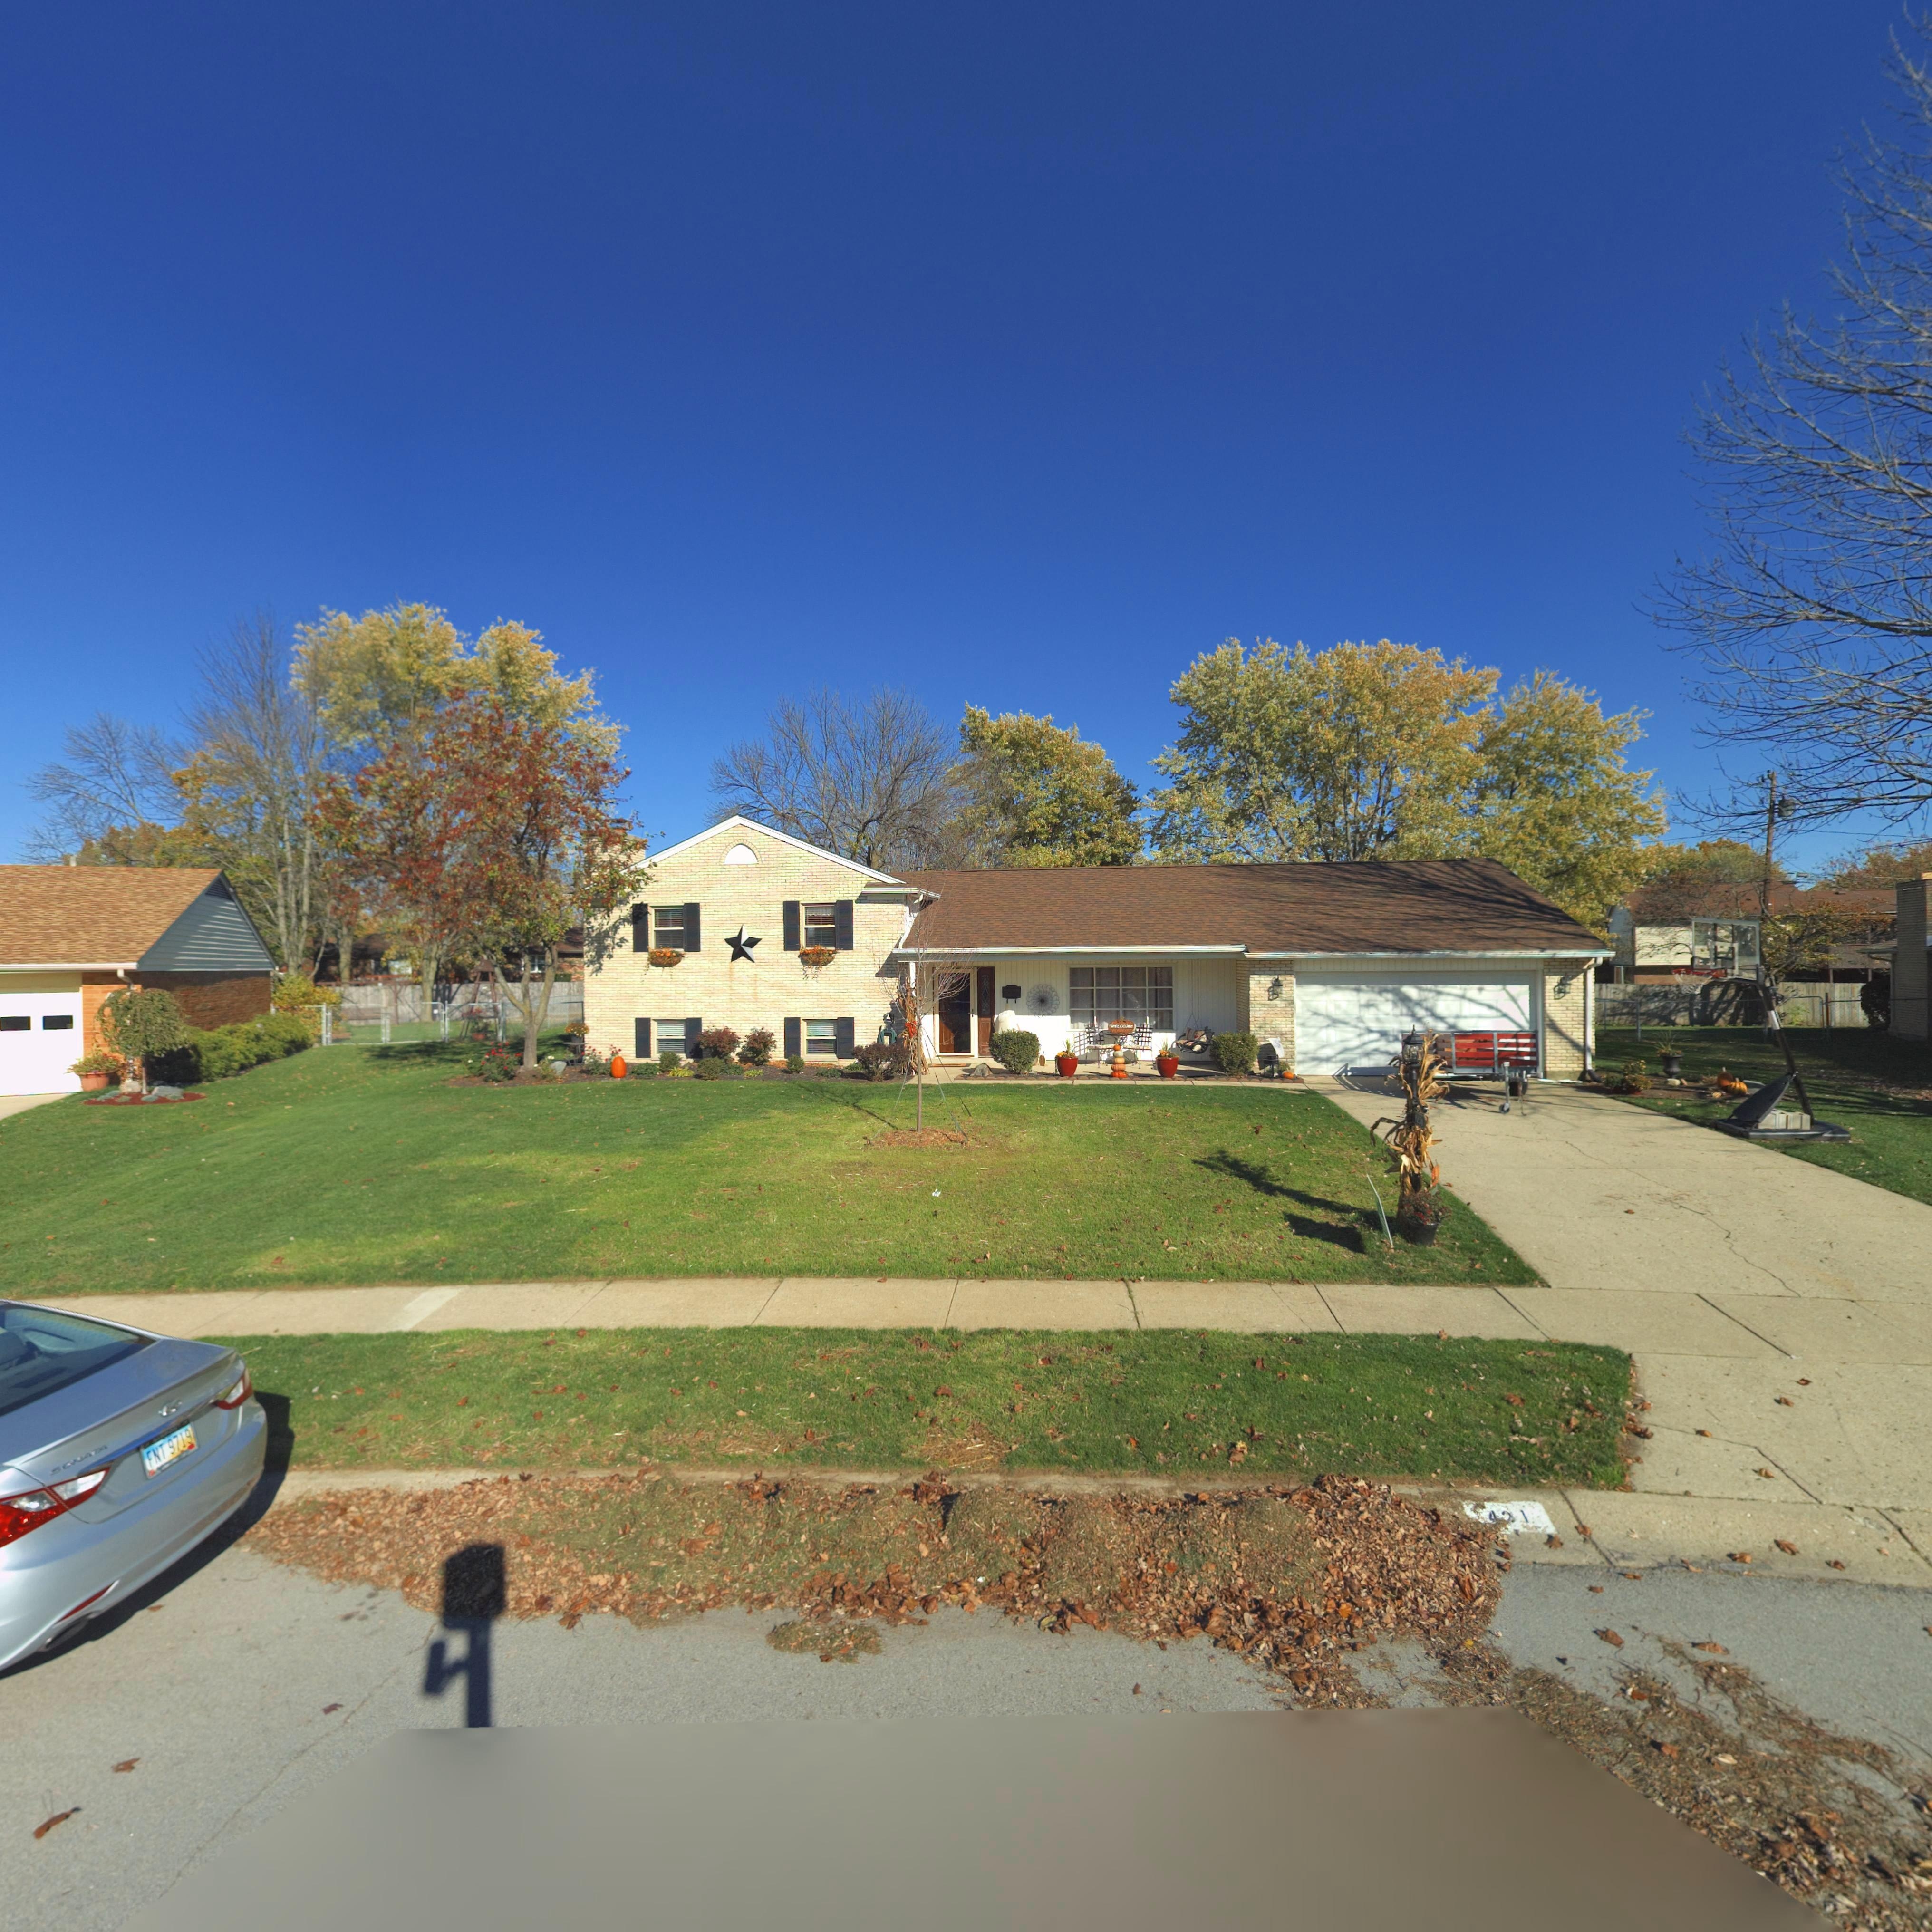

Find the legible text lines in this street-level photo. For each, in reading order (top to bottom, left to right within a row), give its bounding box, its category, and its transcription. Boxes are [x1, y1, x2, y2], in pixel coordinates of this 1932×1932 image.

[48, 1442, 109, 1478] None: SONATA
[145, 1425, 195, 1471] None: FNT*9719
[1487, 1507, 1531, 1525] StreetNumber: **1